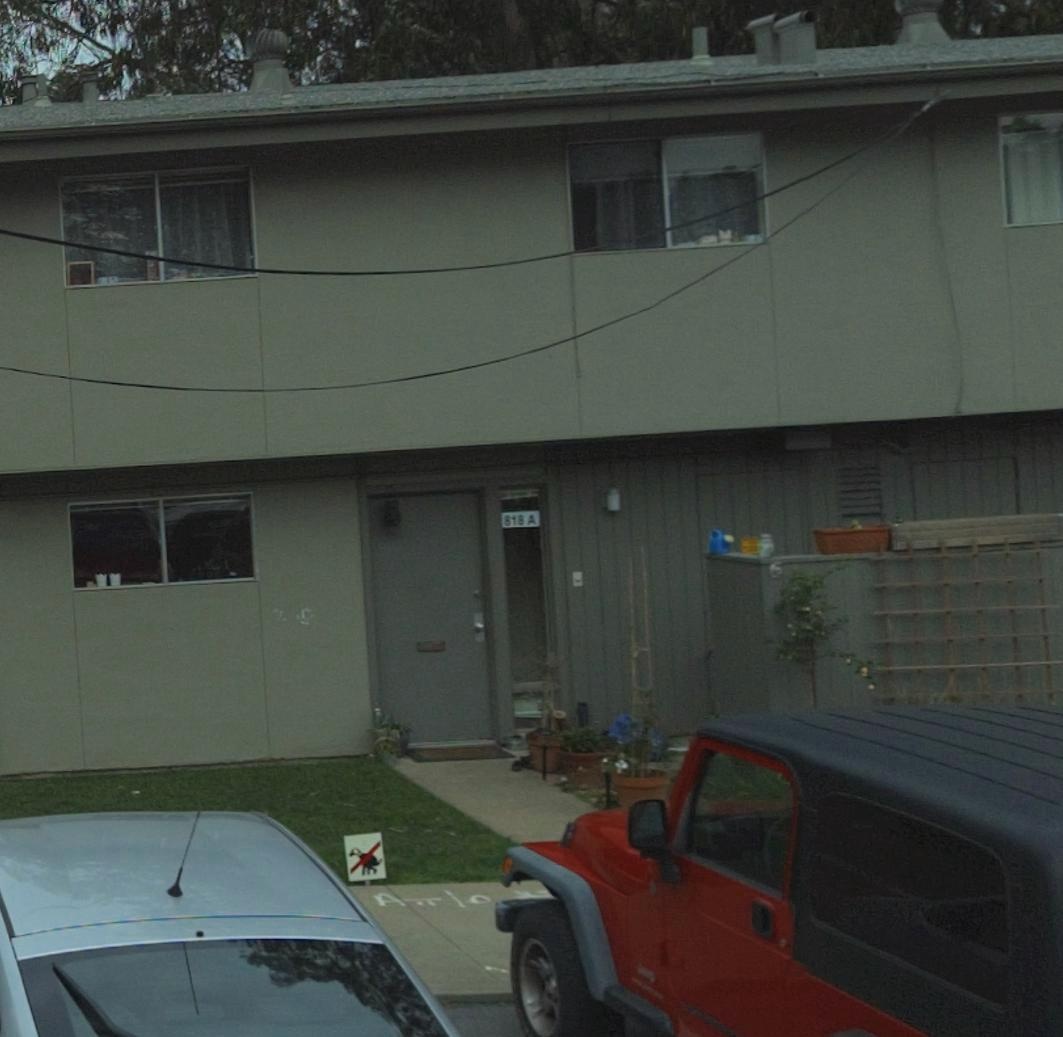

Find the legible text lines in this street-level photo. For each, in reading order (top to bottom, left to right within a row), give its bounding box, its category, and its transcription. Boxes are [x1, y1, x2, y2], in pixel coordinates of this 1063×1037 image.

[503, 513, 539, 528] StreetNumber: 818 A
[370, 889, 494, 908] None: A*lo